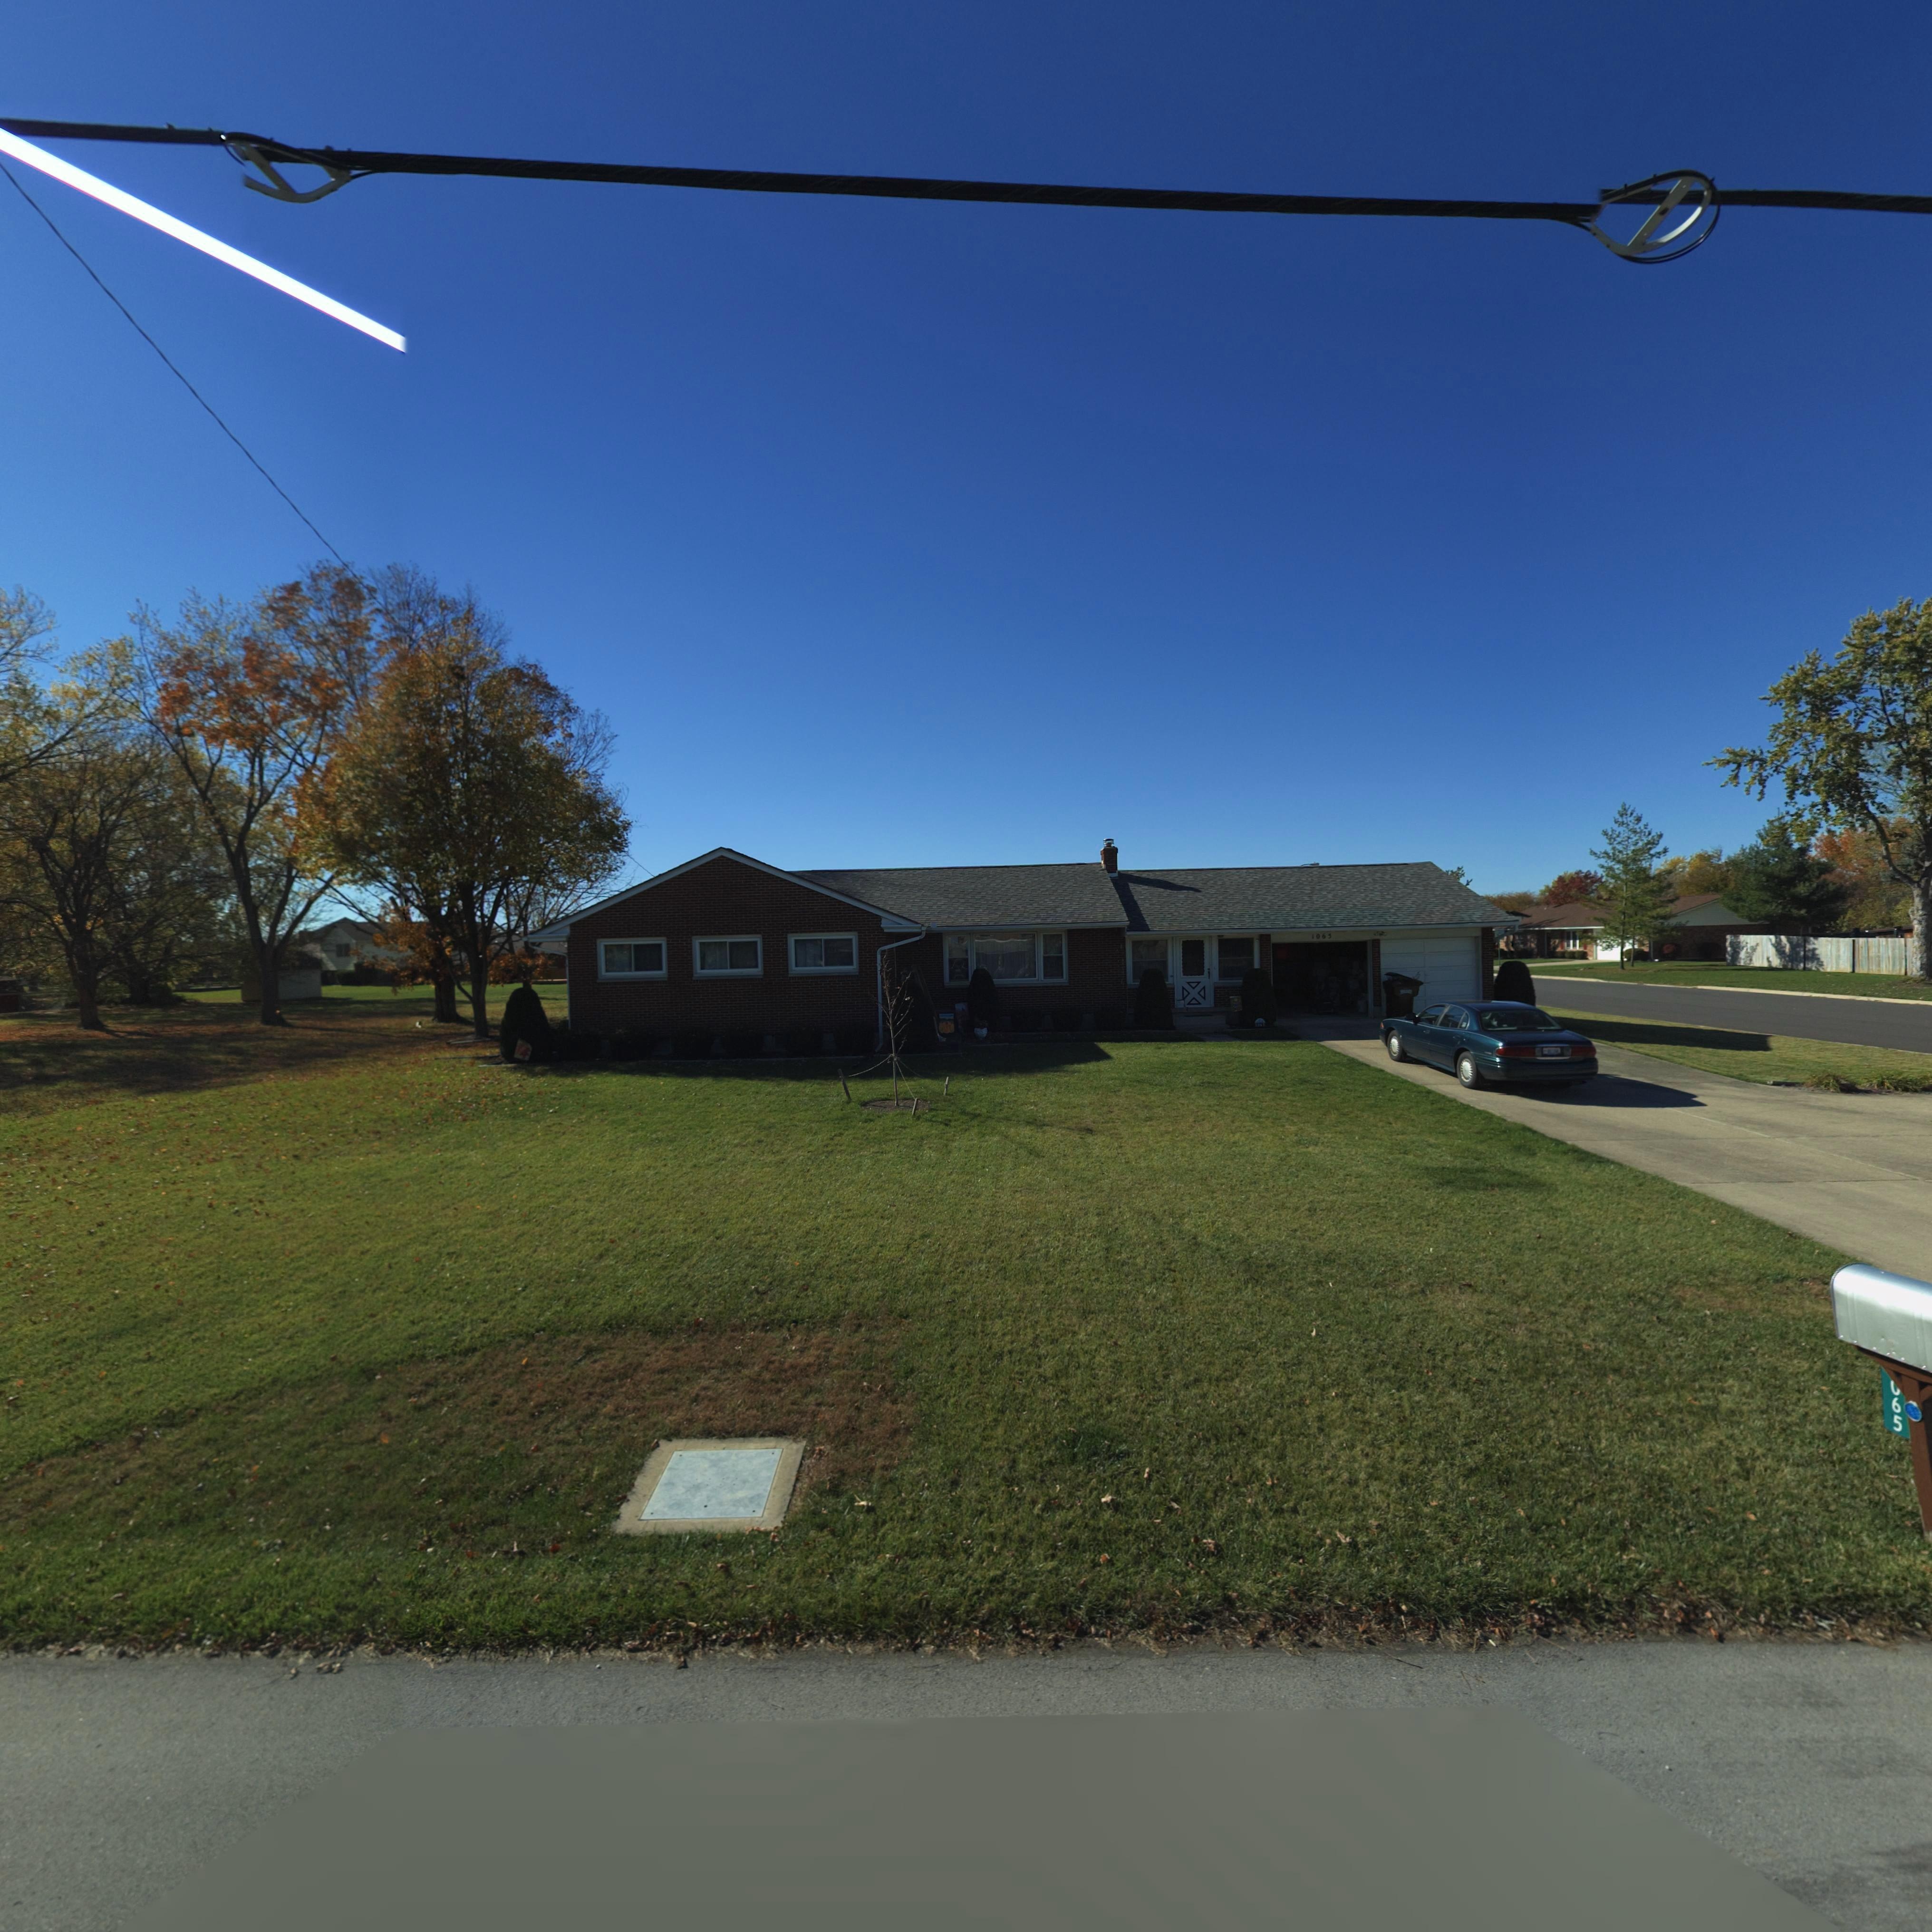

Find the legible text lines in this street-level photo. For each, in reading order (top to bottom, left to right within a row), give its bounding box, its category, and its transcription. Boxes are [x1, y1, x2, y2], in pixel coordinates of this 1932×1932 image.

[1311, 933, 1333, 940] StreetNumber: 1065
[1891, 1396, 1904, 1433] StreetNumber: 65